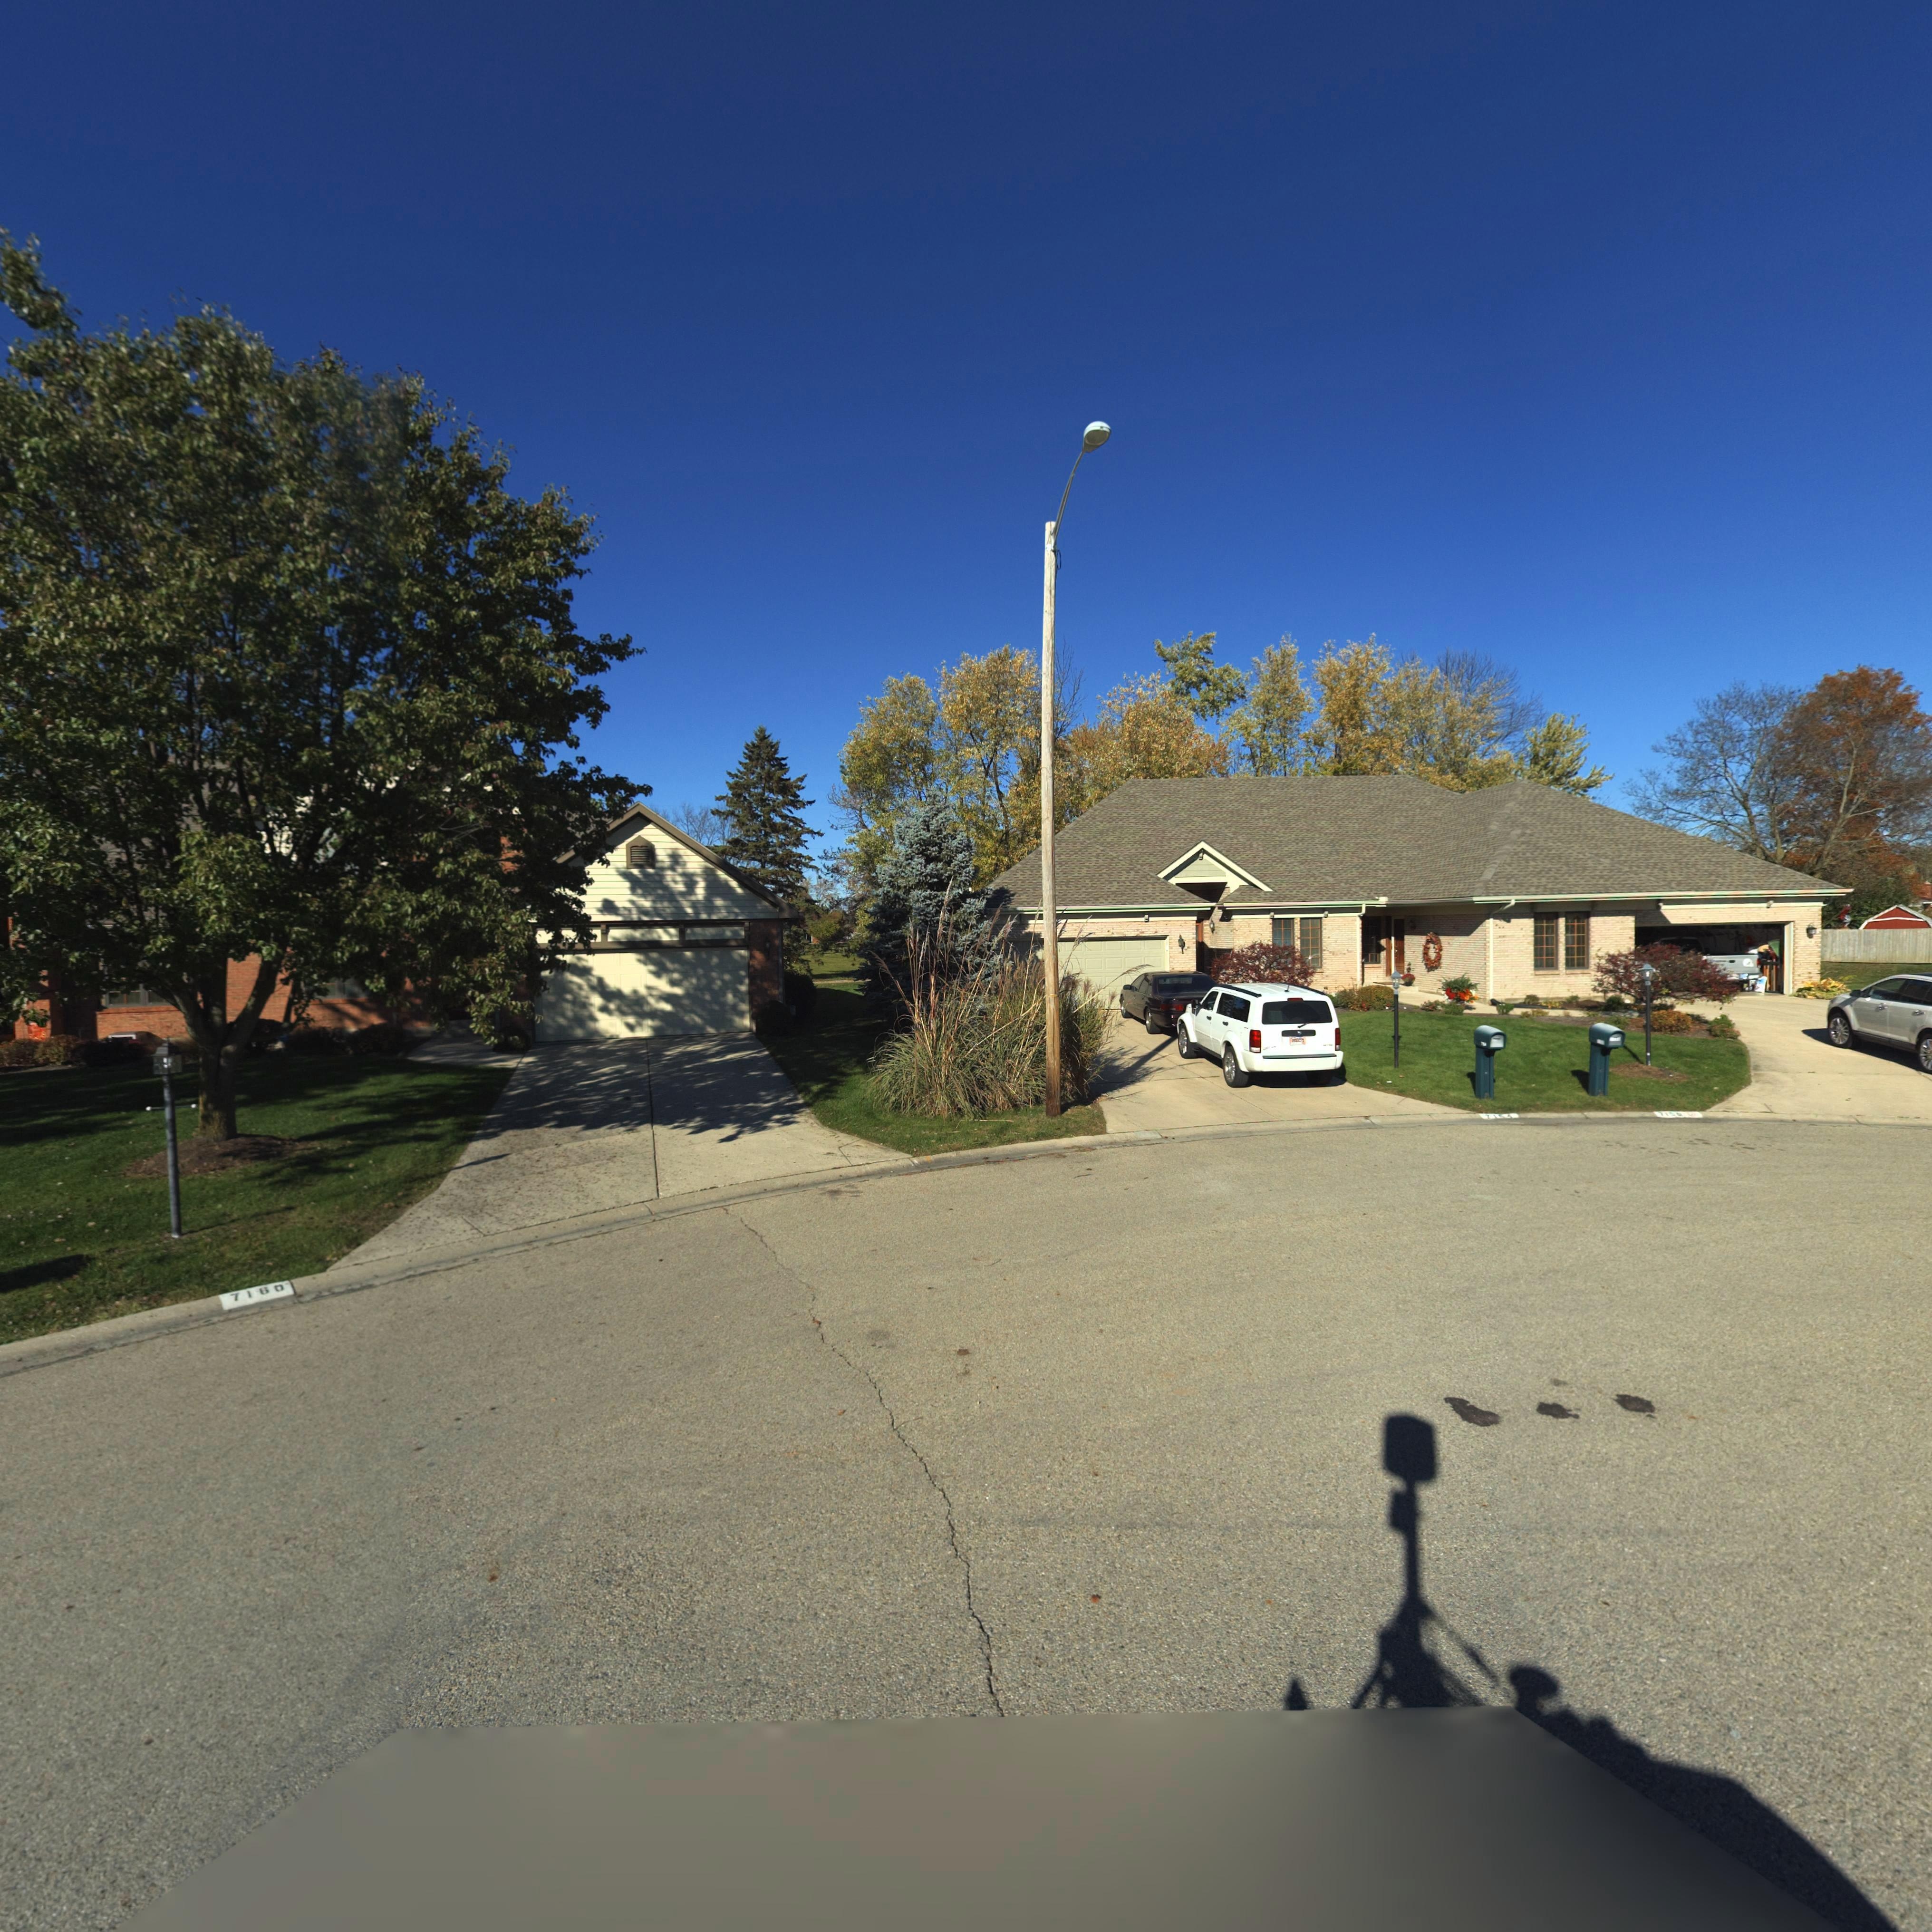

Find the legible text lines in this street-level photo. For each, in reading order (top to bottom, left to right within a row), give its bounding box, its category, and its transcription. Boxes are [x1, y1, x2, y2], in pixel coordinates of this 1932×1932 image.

[1483, 1113, 1514, 1119] StreetNumber: 7154
[1656, 1111, 1683, 1117] StreetNumber: 7150
[228, 1283, 286, 1302] StreetNumber: 7160